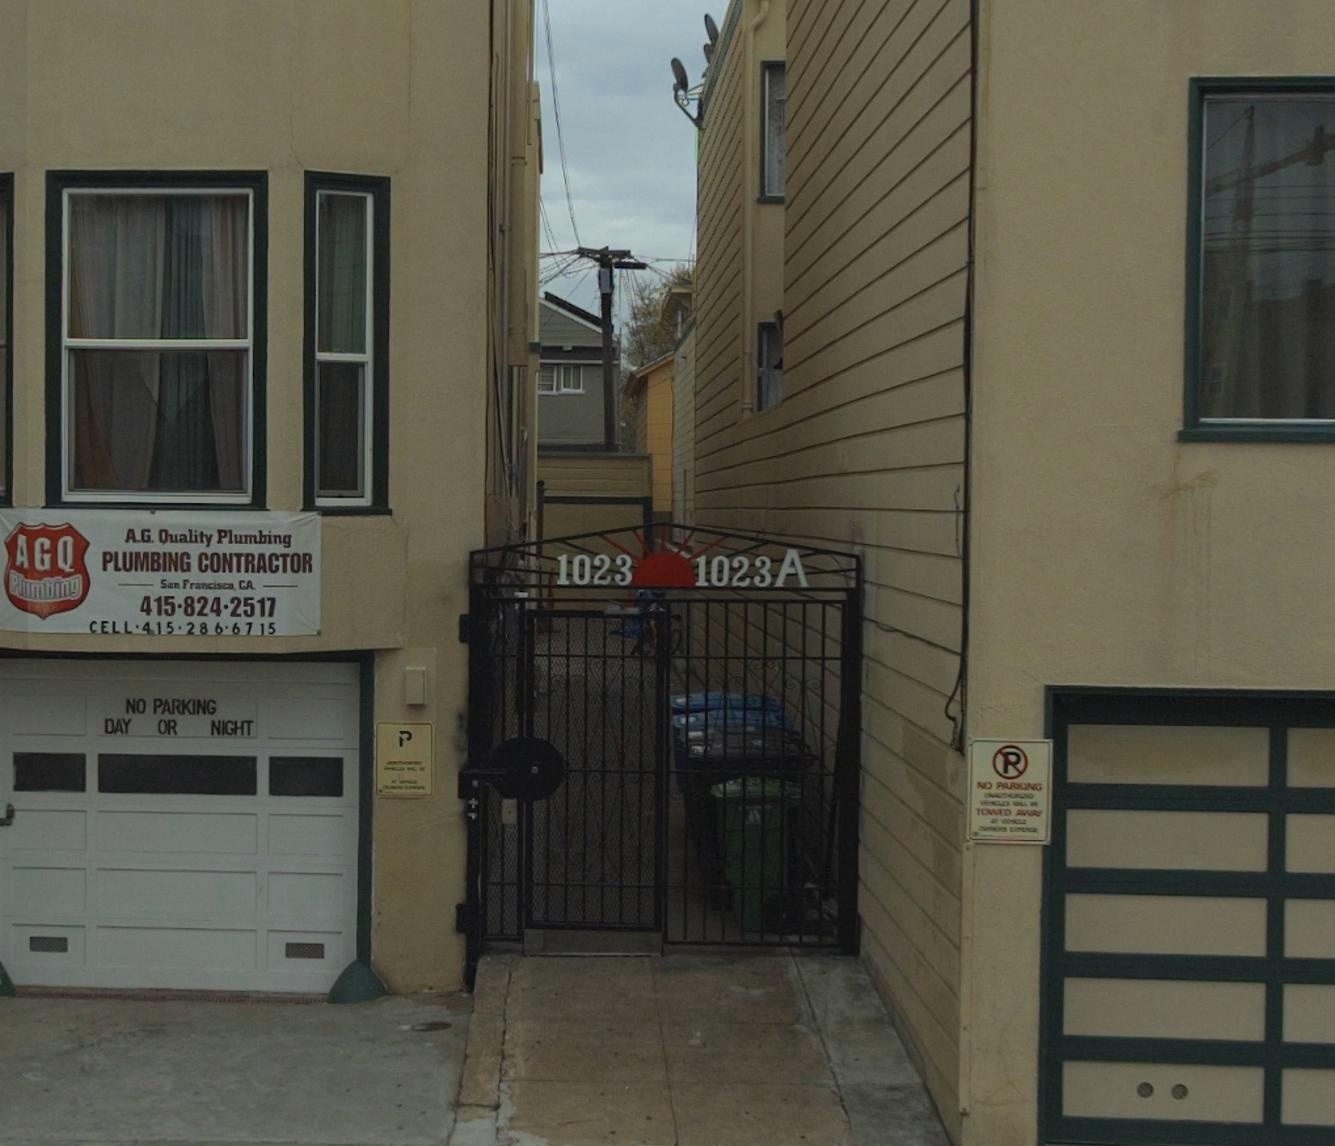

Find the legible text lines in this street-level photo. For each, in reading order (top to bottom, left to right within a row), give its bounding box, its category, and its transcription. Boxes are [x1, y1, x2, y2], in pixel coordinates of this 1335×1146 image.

[122, 526, 293, 549] BusinessName: A.G. Quality Plumbing
[13, 531, 77, 573] BusinessName: AGQ
[100, 549, 314, 574] BusinessName: PLUMBING CONTRACTOR
[555, 552, 634, 588] StreetNumber: 1023
[693, 547, 813, 589] StreetNumber: 1023A
[8, 569, 82, 603] BusinessName: Plumbing
[159, 577, 257, 591] None: San Francisco, CA
[138, 594, 277, 619] None: 415-824-2517
[88, 618, 277, 636] None: CELL-415-286-6715
[124, 694, 218, 716] None: NO PARKING
[102, 716, 257, 738] None: DAY OR NIGHT
[975, 780, 1045, 792] None: NO PARKING
[973, 806, 1046, 818] None: TOWED AWAY